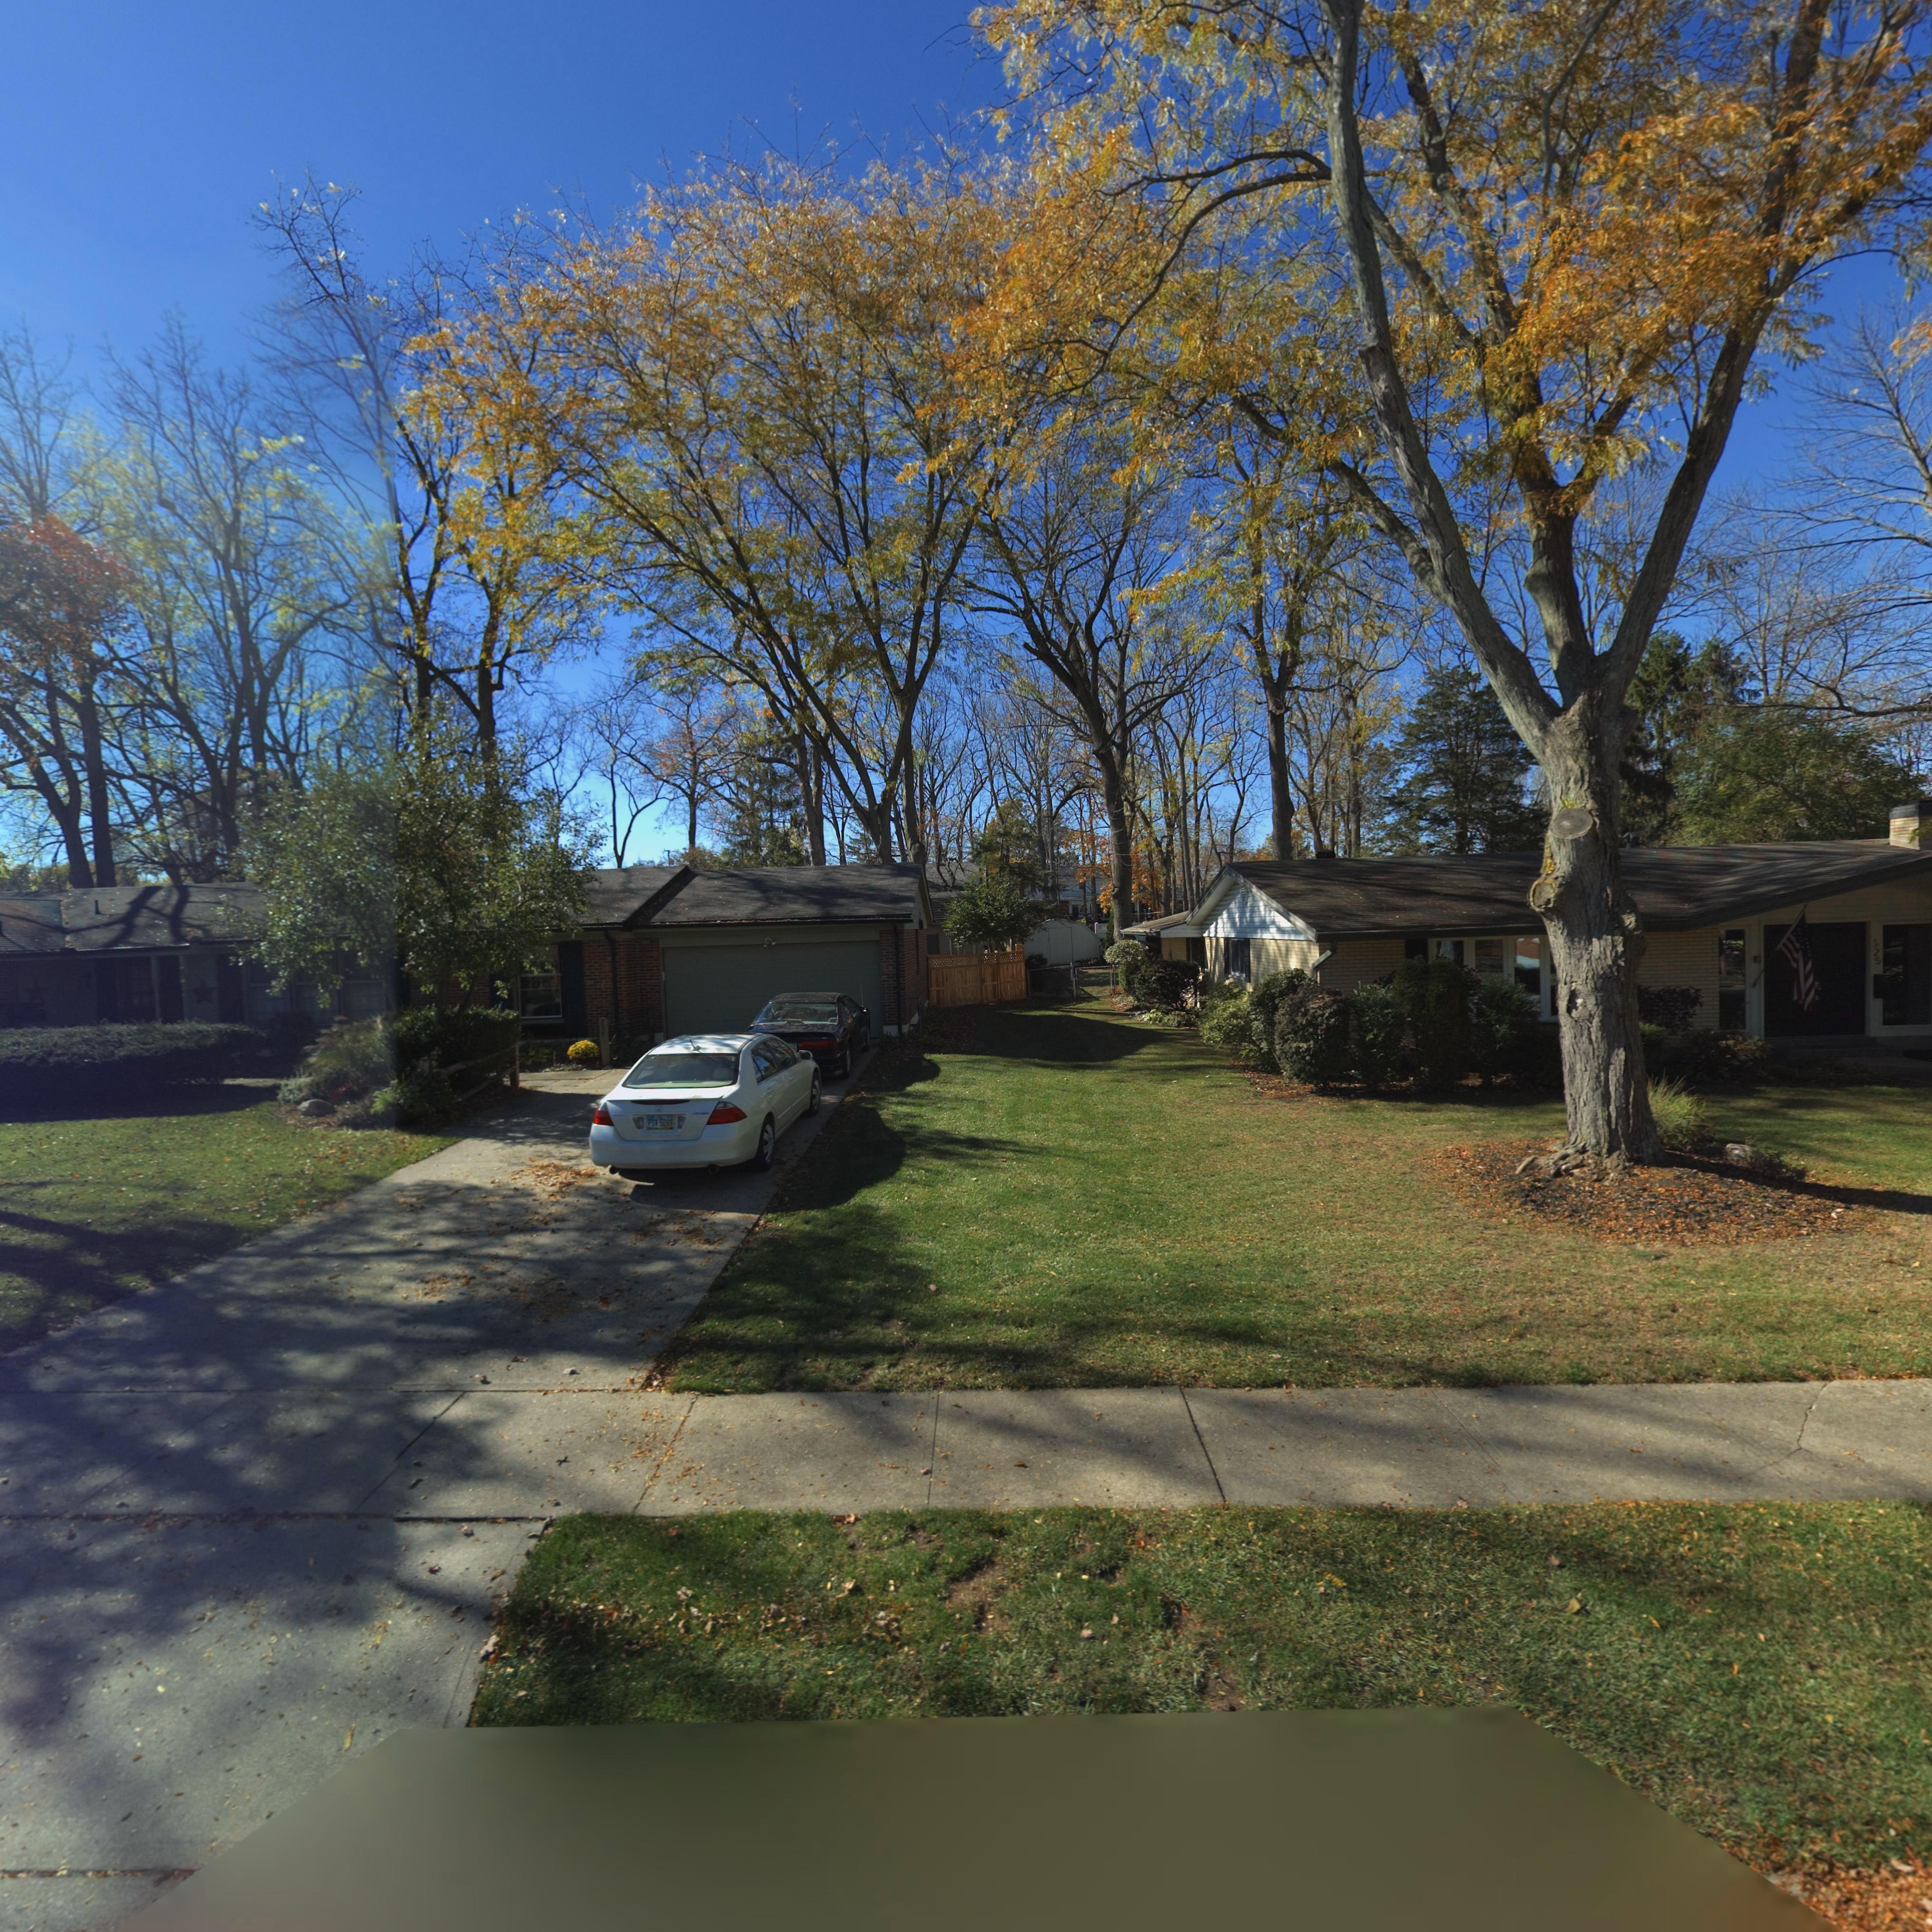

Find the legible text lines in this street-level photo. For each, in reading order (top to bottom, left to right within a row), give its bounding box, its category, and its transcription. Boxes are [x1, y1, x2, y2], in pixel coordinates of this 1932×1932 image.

[1872, 939, 1881, 965] StreetNumber: 525
[600, 1019, 605, 1037] StreetNumber: 529